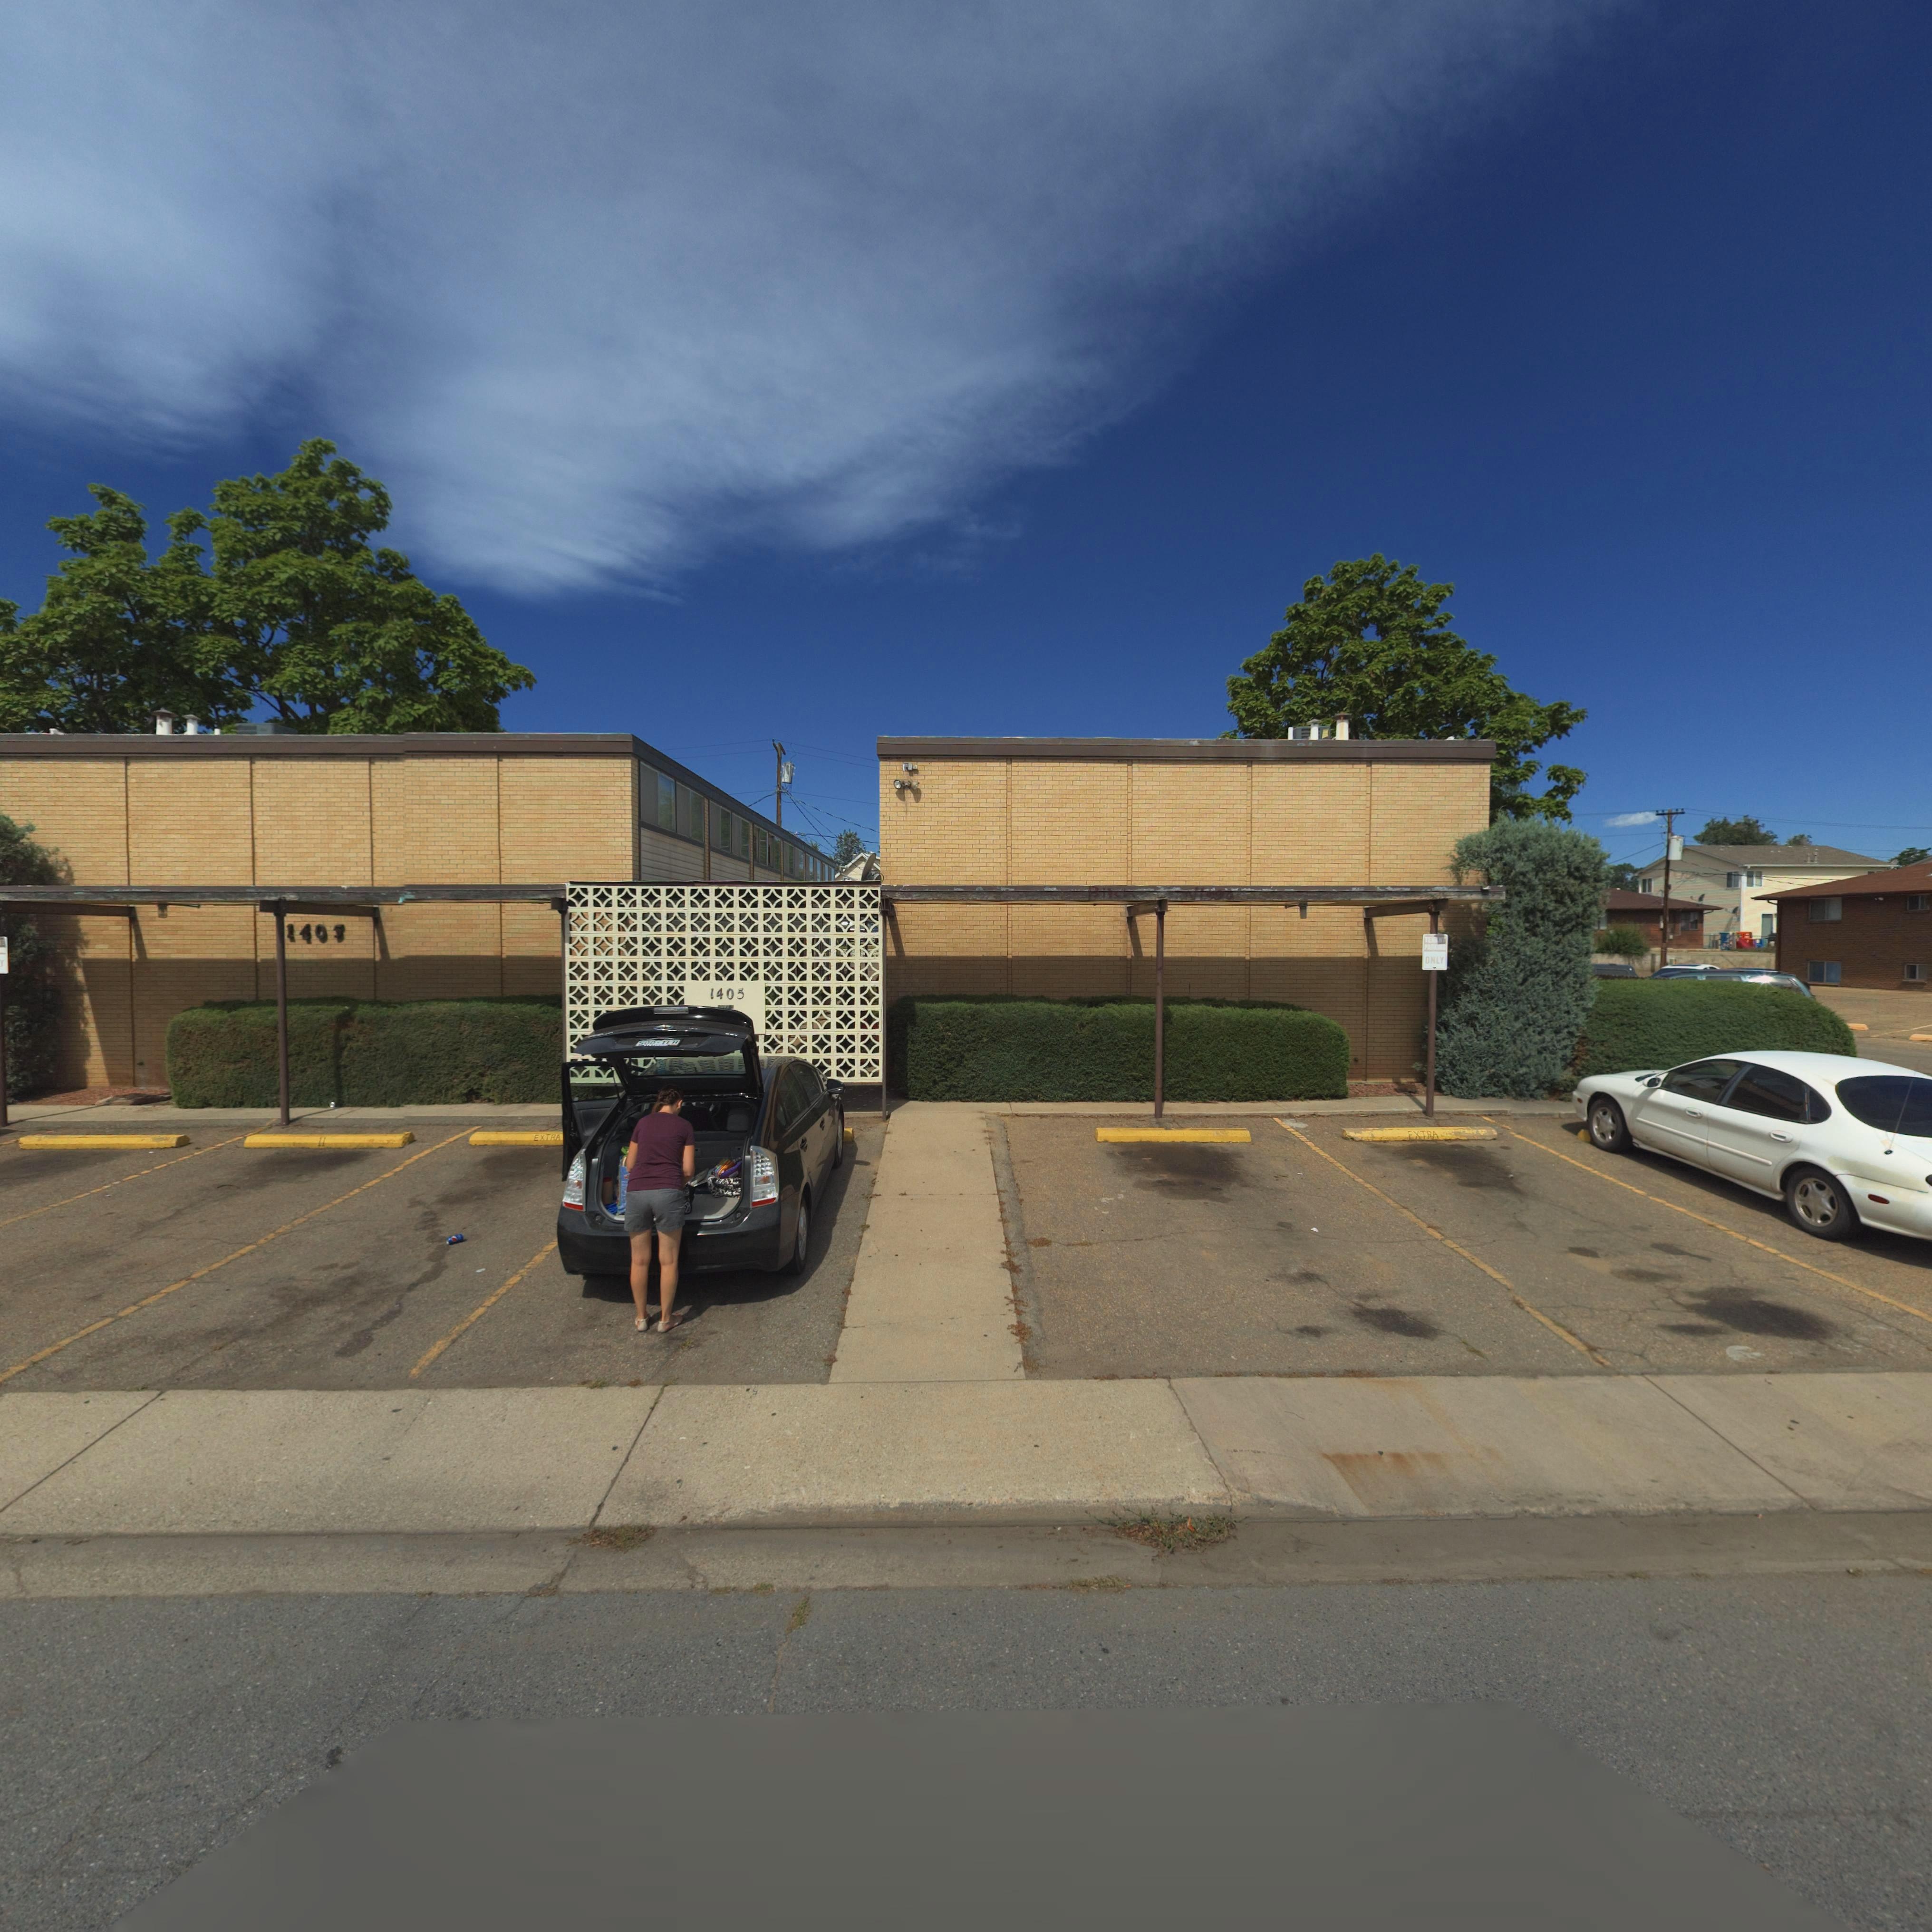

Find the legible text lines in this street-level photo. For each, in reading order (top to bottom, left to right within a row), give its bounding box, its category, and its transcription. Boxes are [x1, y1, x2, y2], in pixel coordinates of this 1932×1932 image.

[286, 923, 344, 938] StreetNumber: 1405
[710, 987, 744, 1000] StreetNumber: 1405